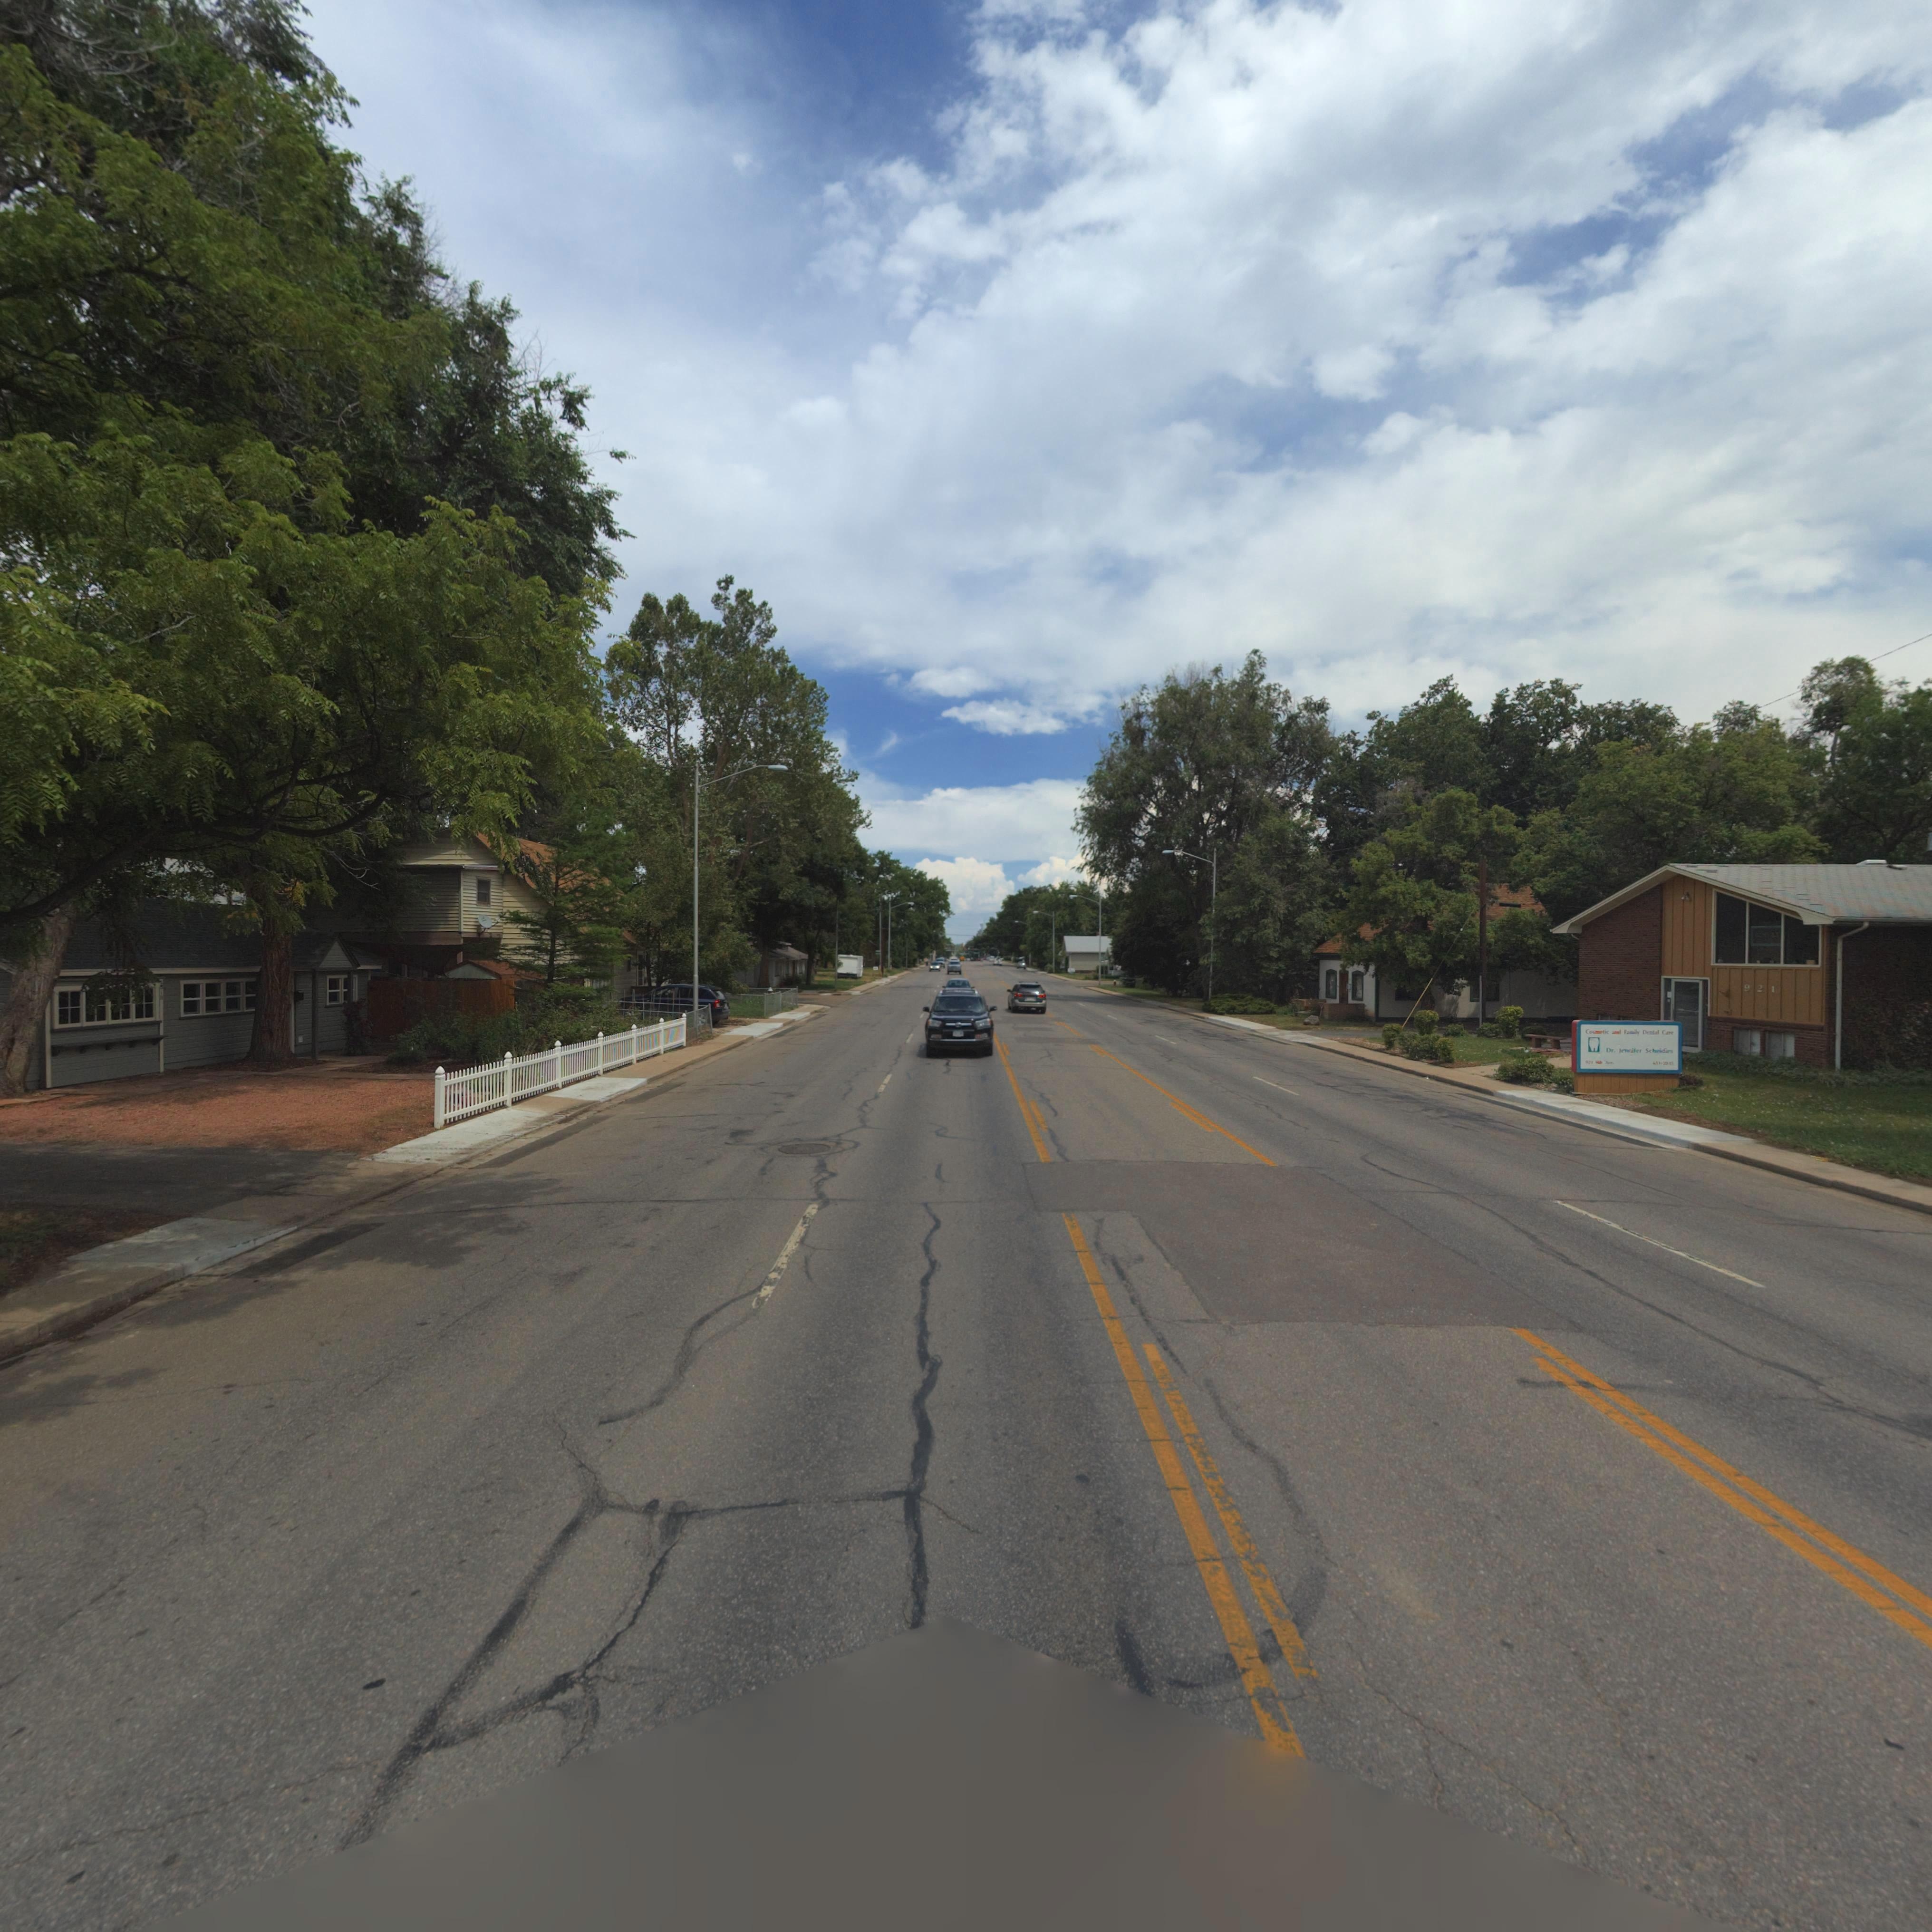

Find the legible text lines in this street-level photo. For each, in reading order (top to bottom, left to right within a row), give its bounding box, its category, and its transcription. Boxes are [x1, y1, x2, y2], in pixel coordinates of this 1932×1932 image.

[1744, 983, 1775, 993] StreetNumber: 921
[1585, 1028, 1674, 1036] BusinessName: Cosmetic and Family Dental Care
[1584, 1060, 1593, 1065] StreetNumber: 921
[1594, 1060, 1614, 1064] StreetName: 9th Ave